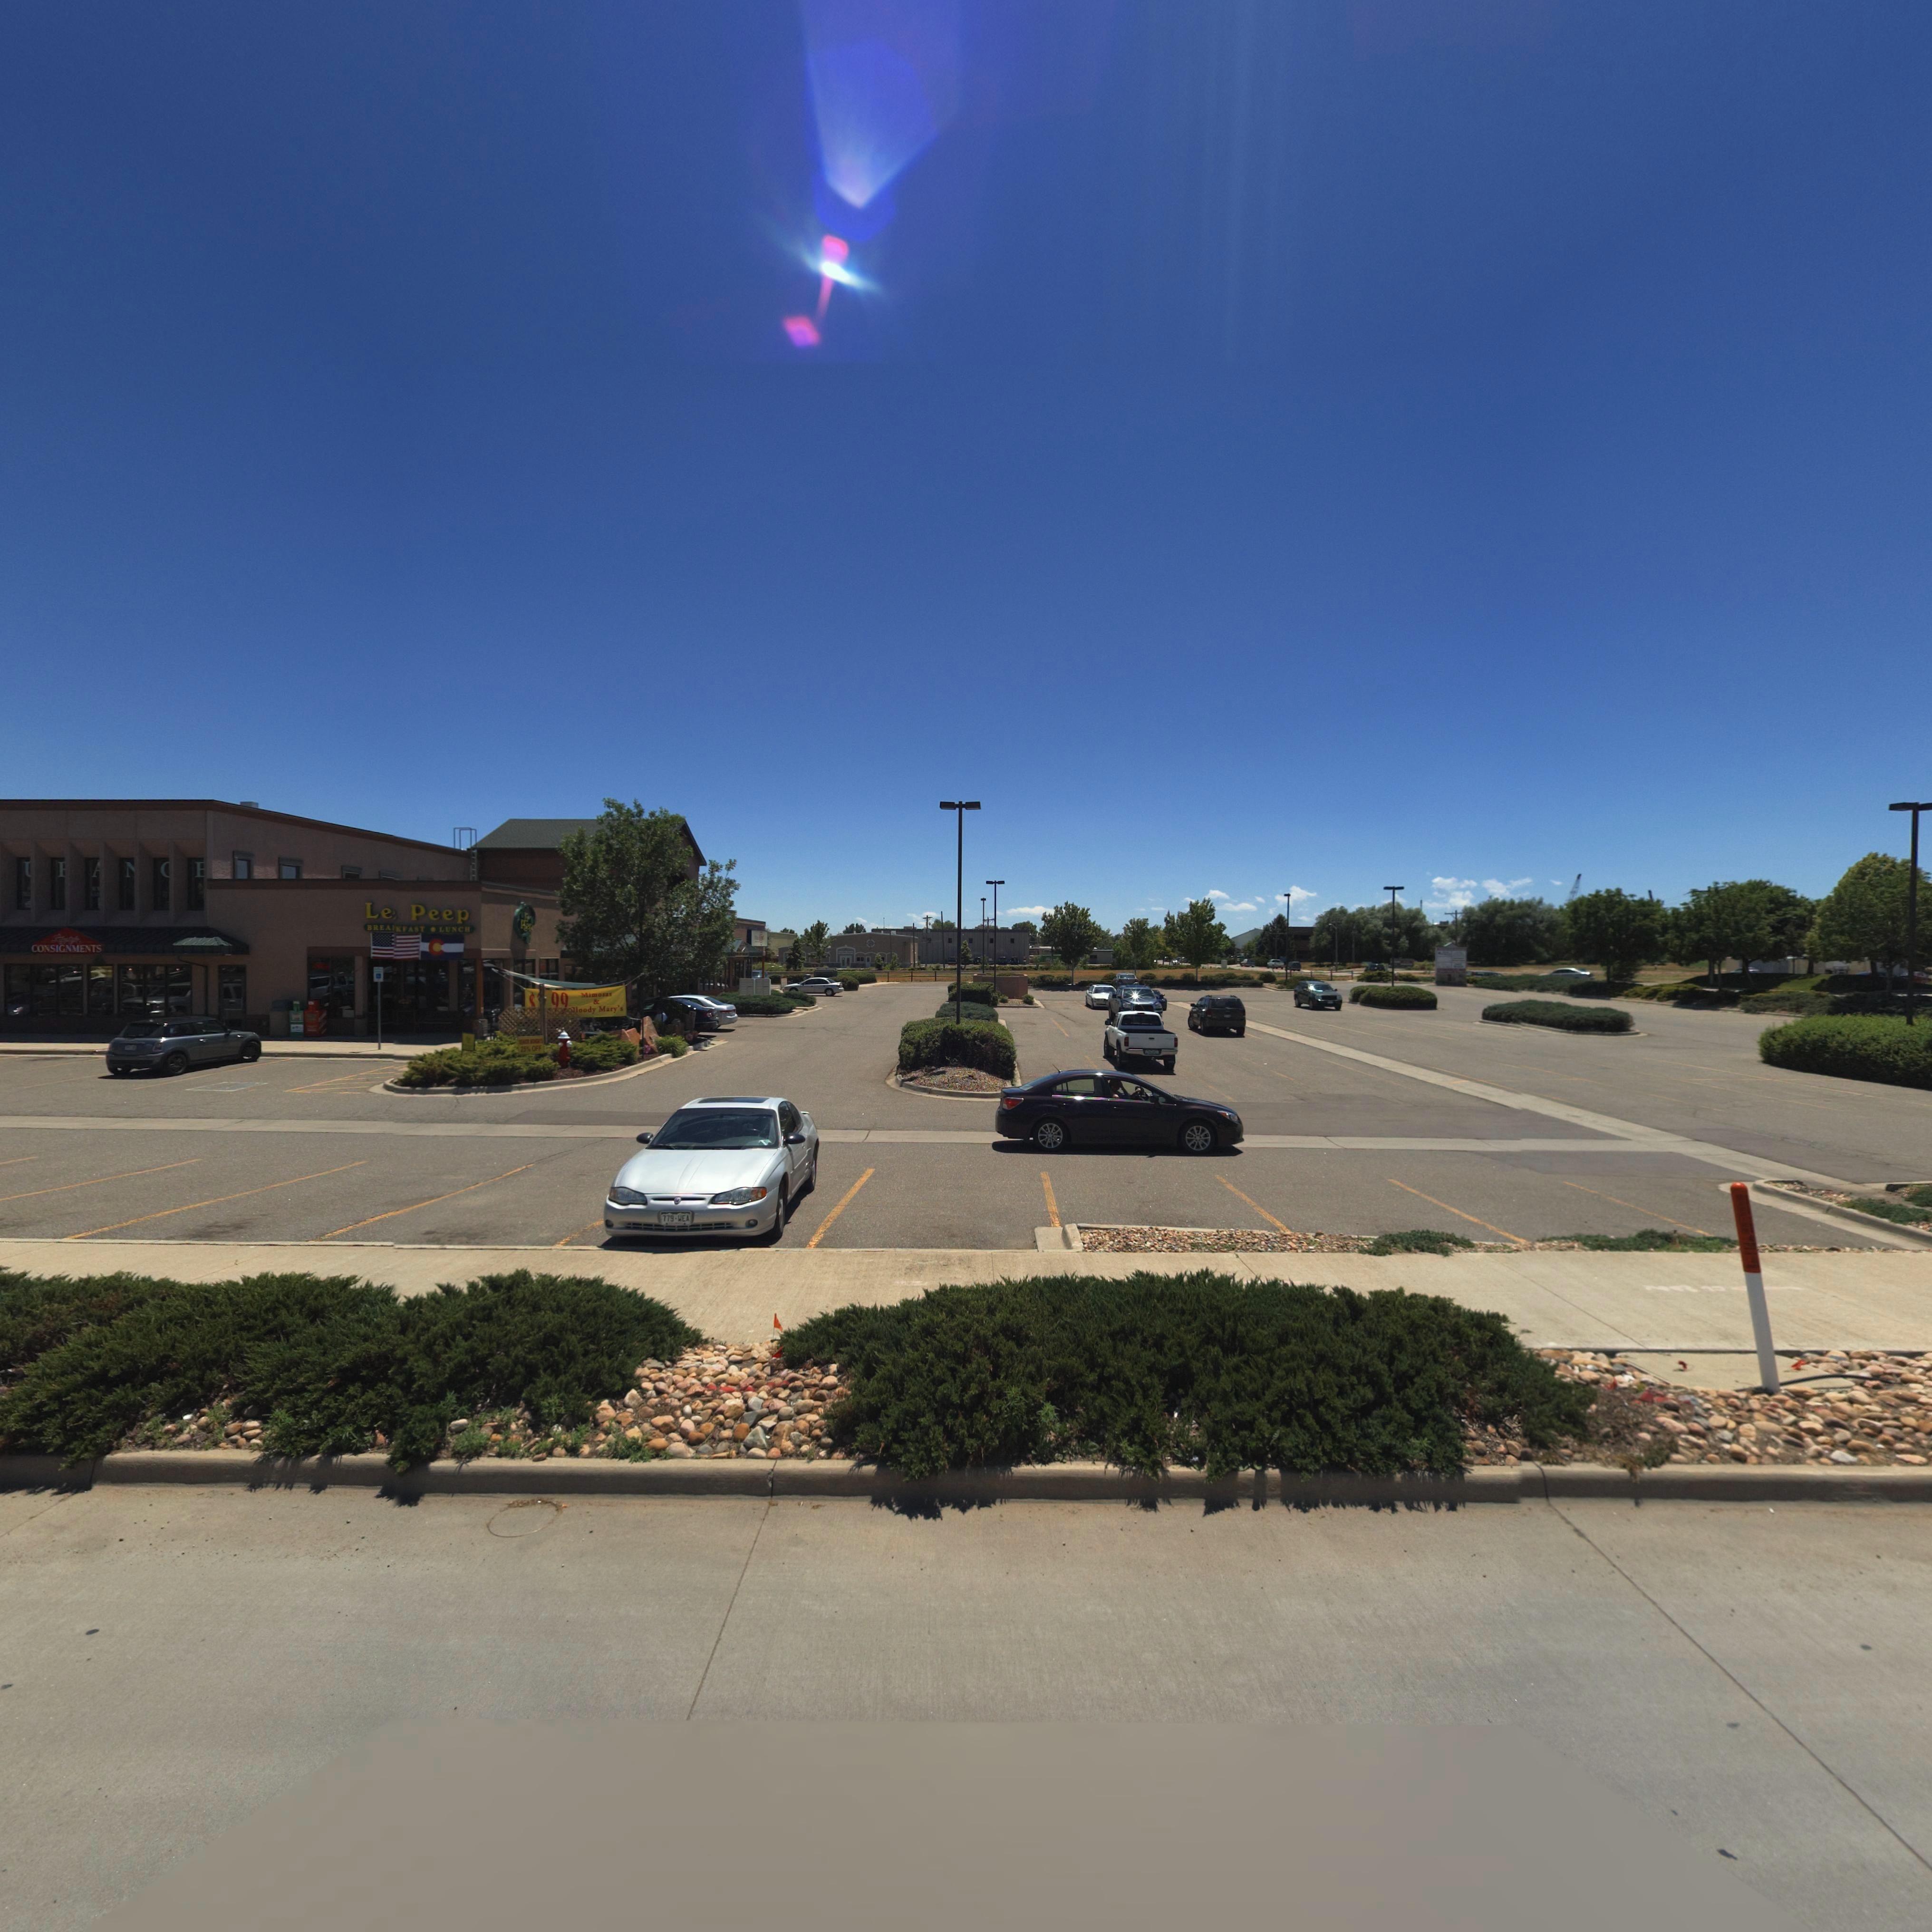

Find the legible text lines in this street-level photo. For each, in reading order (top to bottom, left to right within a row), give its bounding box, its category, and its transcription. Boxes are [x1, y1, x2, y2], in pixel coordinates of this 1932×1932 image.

[364, 902, 470, 924] BusinessName: Le Peep
[50, 932, 80, 945] BusinessName: L*****
[30, 943, 102, 953] BusinessName: CONSIGNMENTS